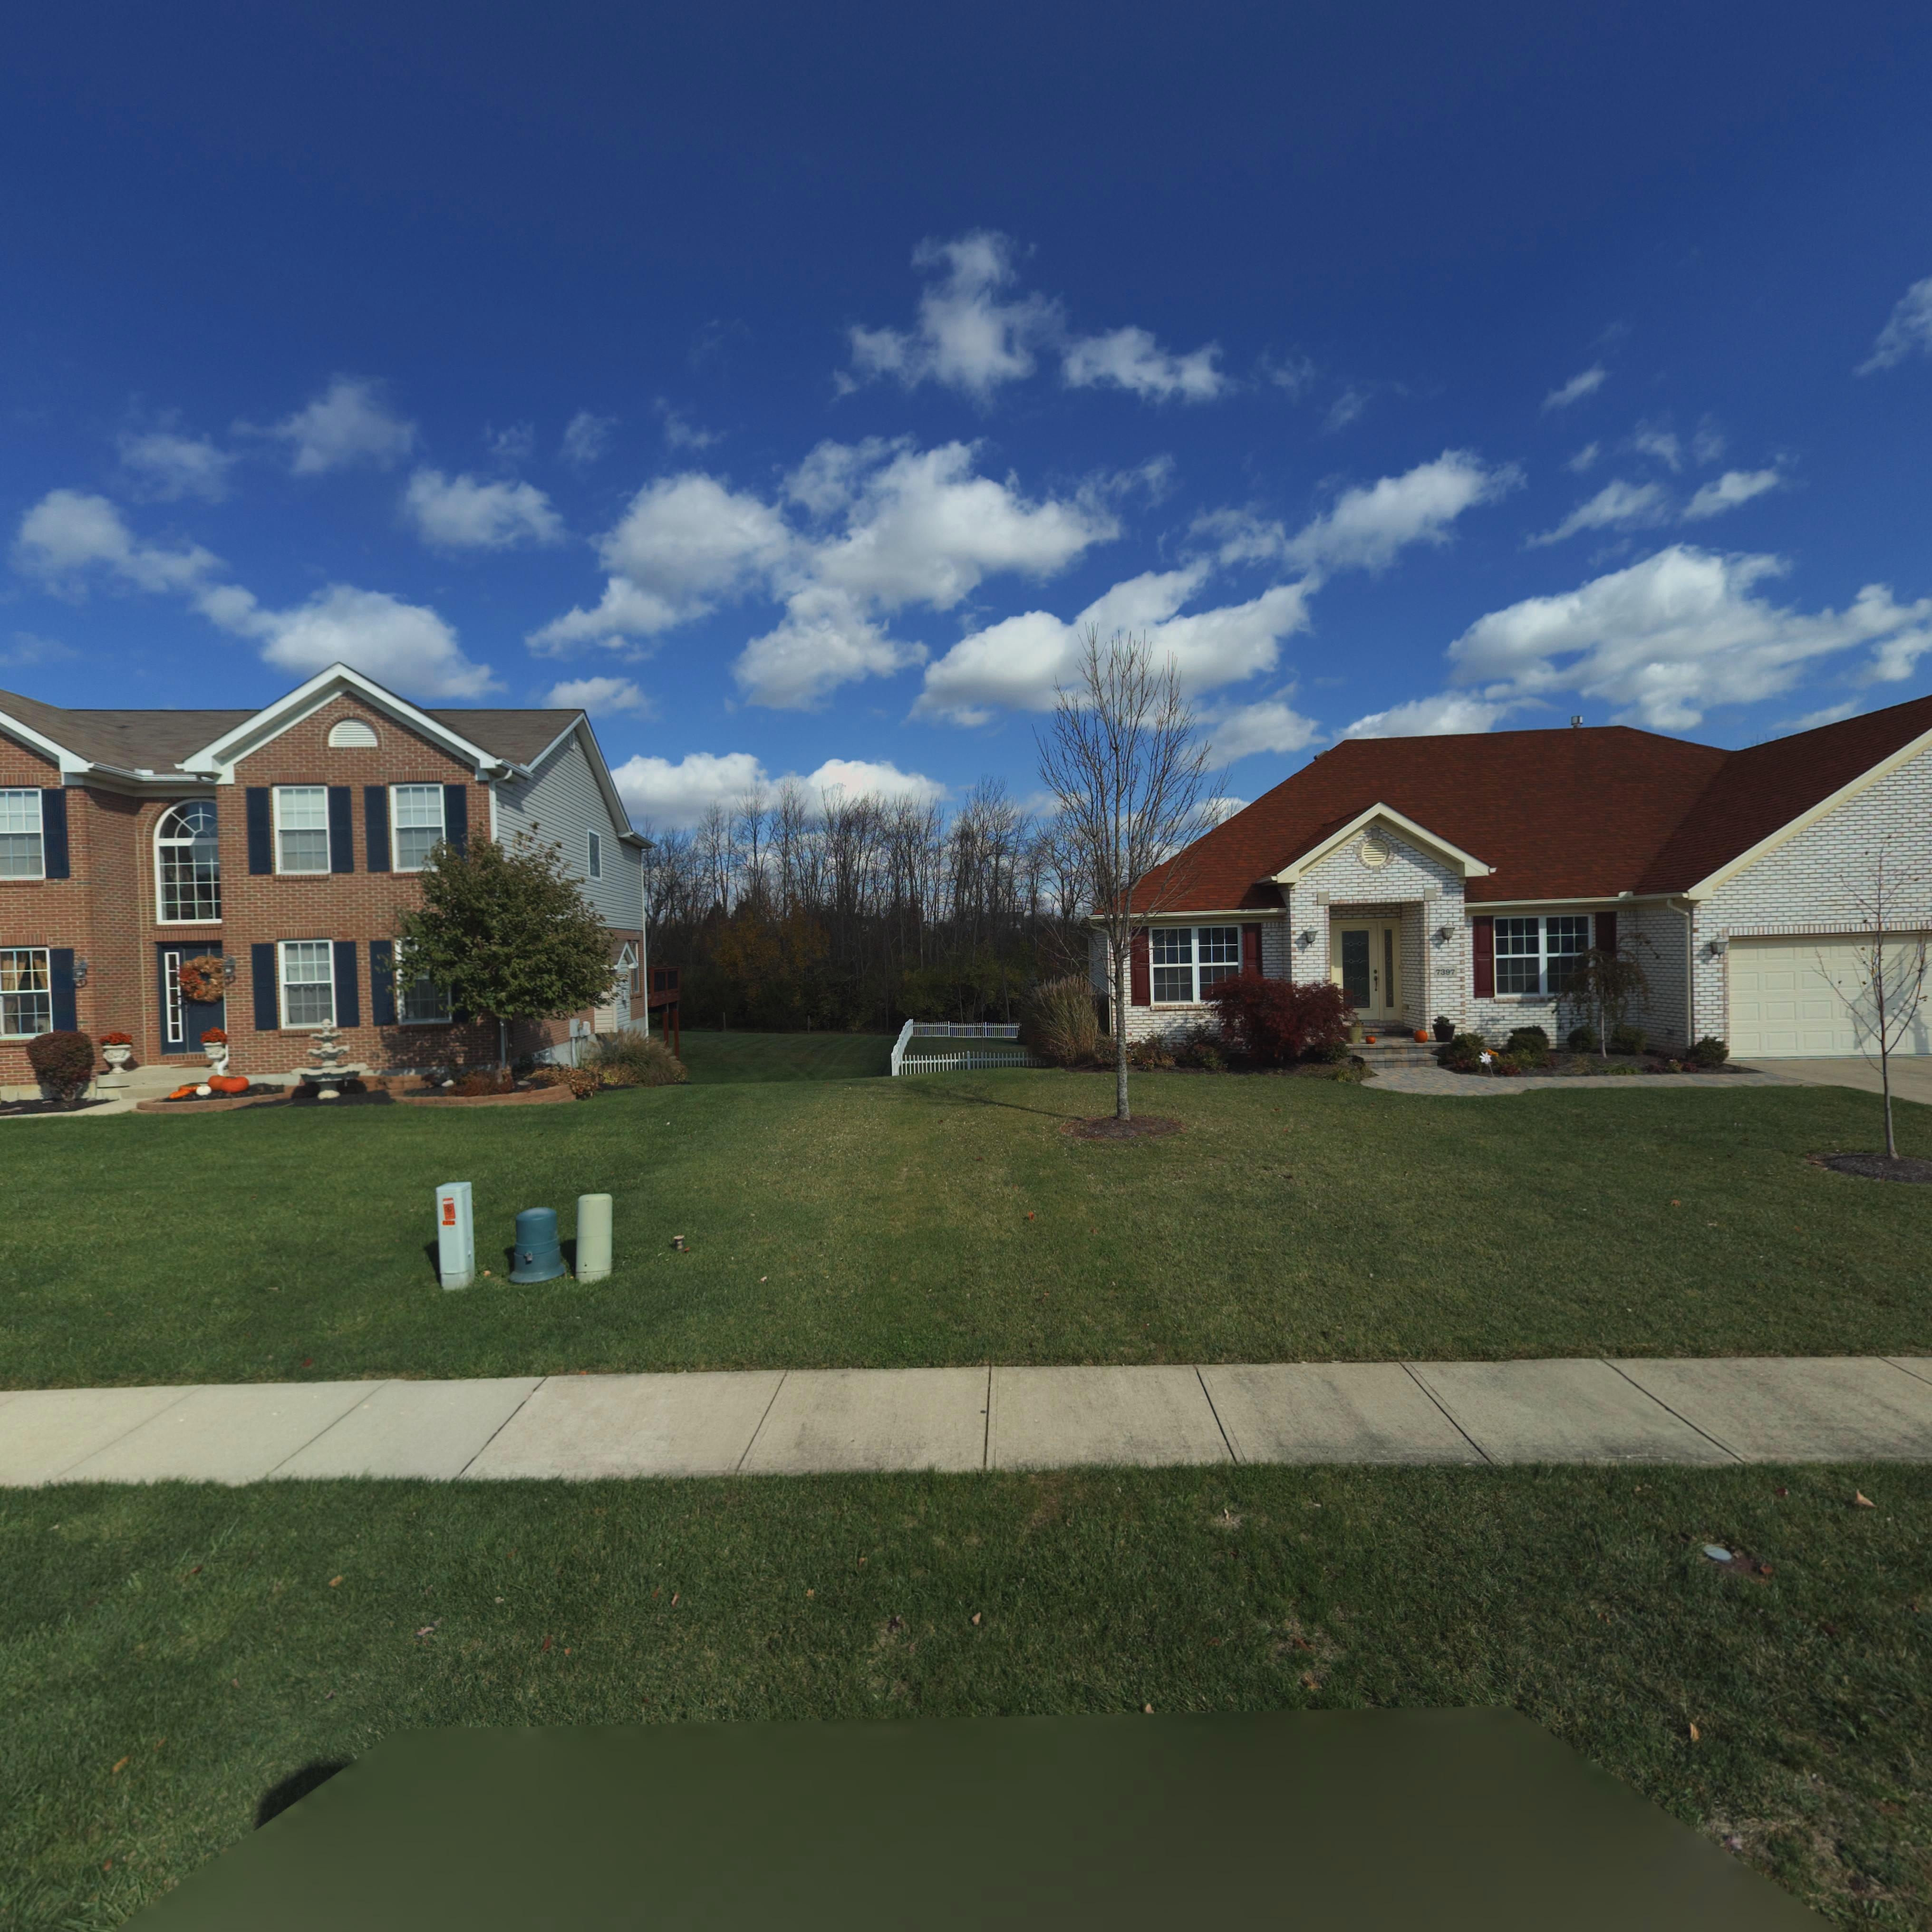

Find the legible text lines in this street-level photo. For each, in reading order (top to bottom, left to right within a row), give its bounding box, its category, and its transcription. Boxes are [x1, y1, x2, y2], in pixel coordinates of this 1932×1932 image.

[1435, 969, 1456, 976] StreetNumber: 7397